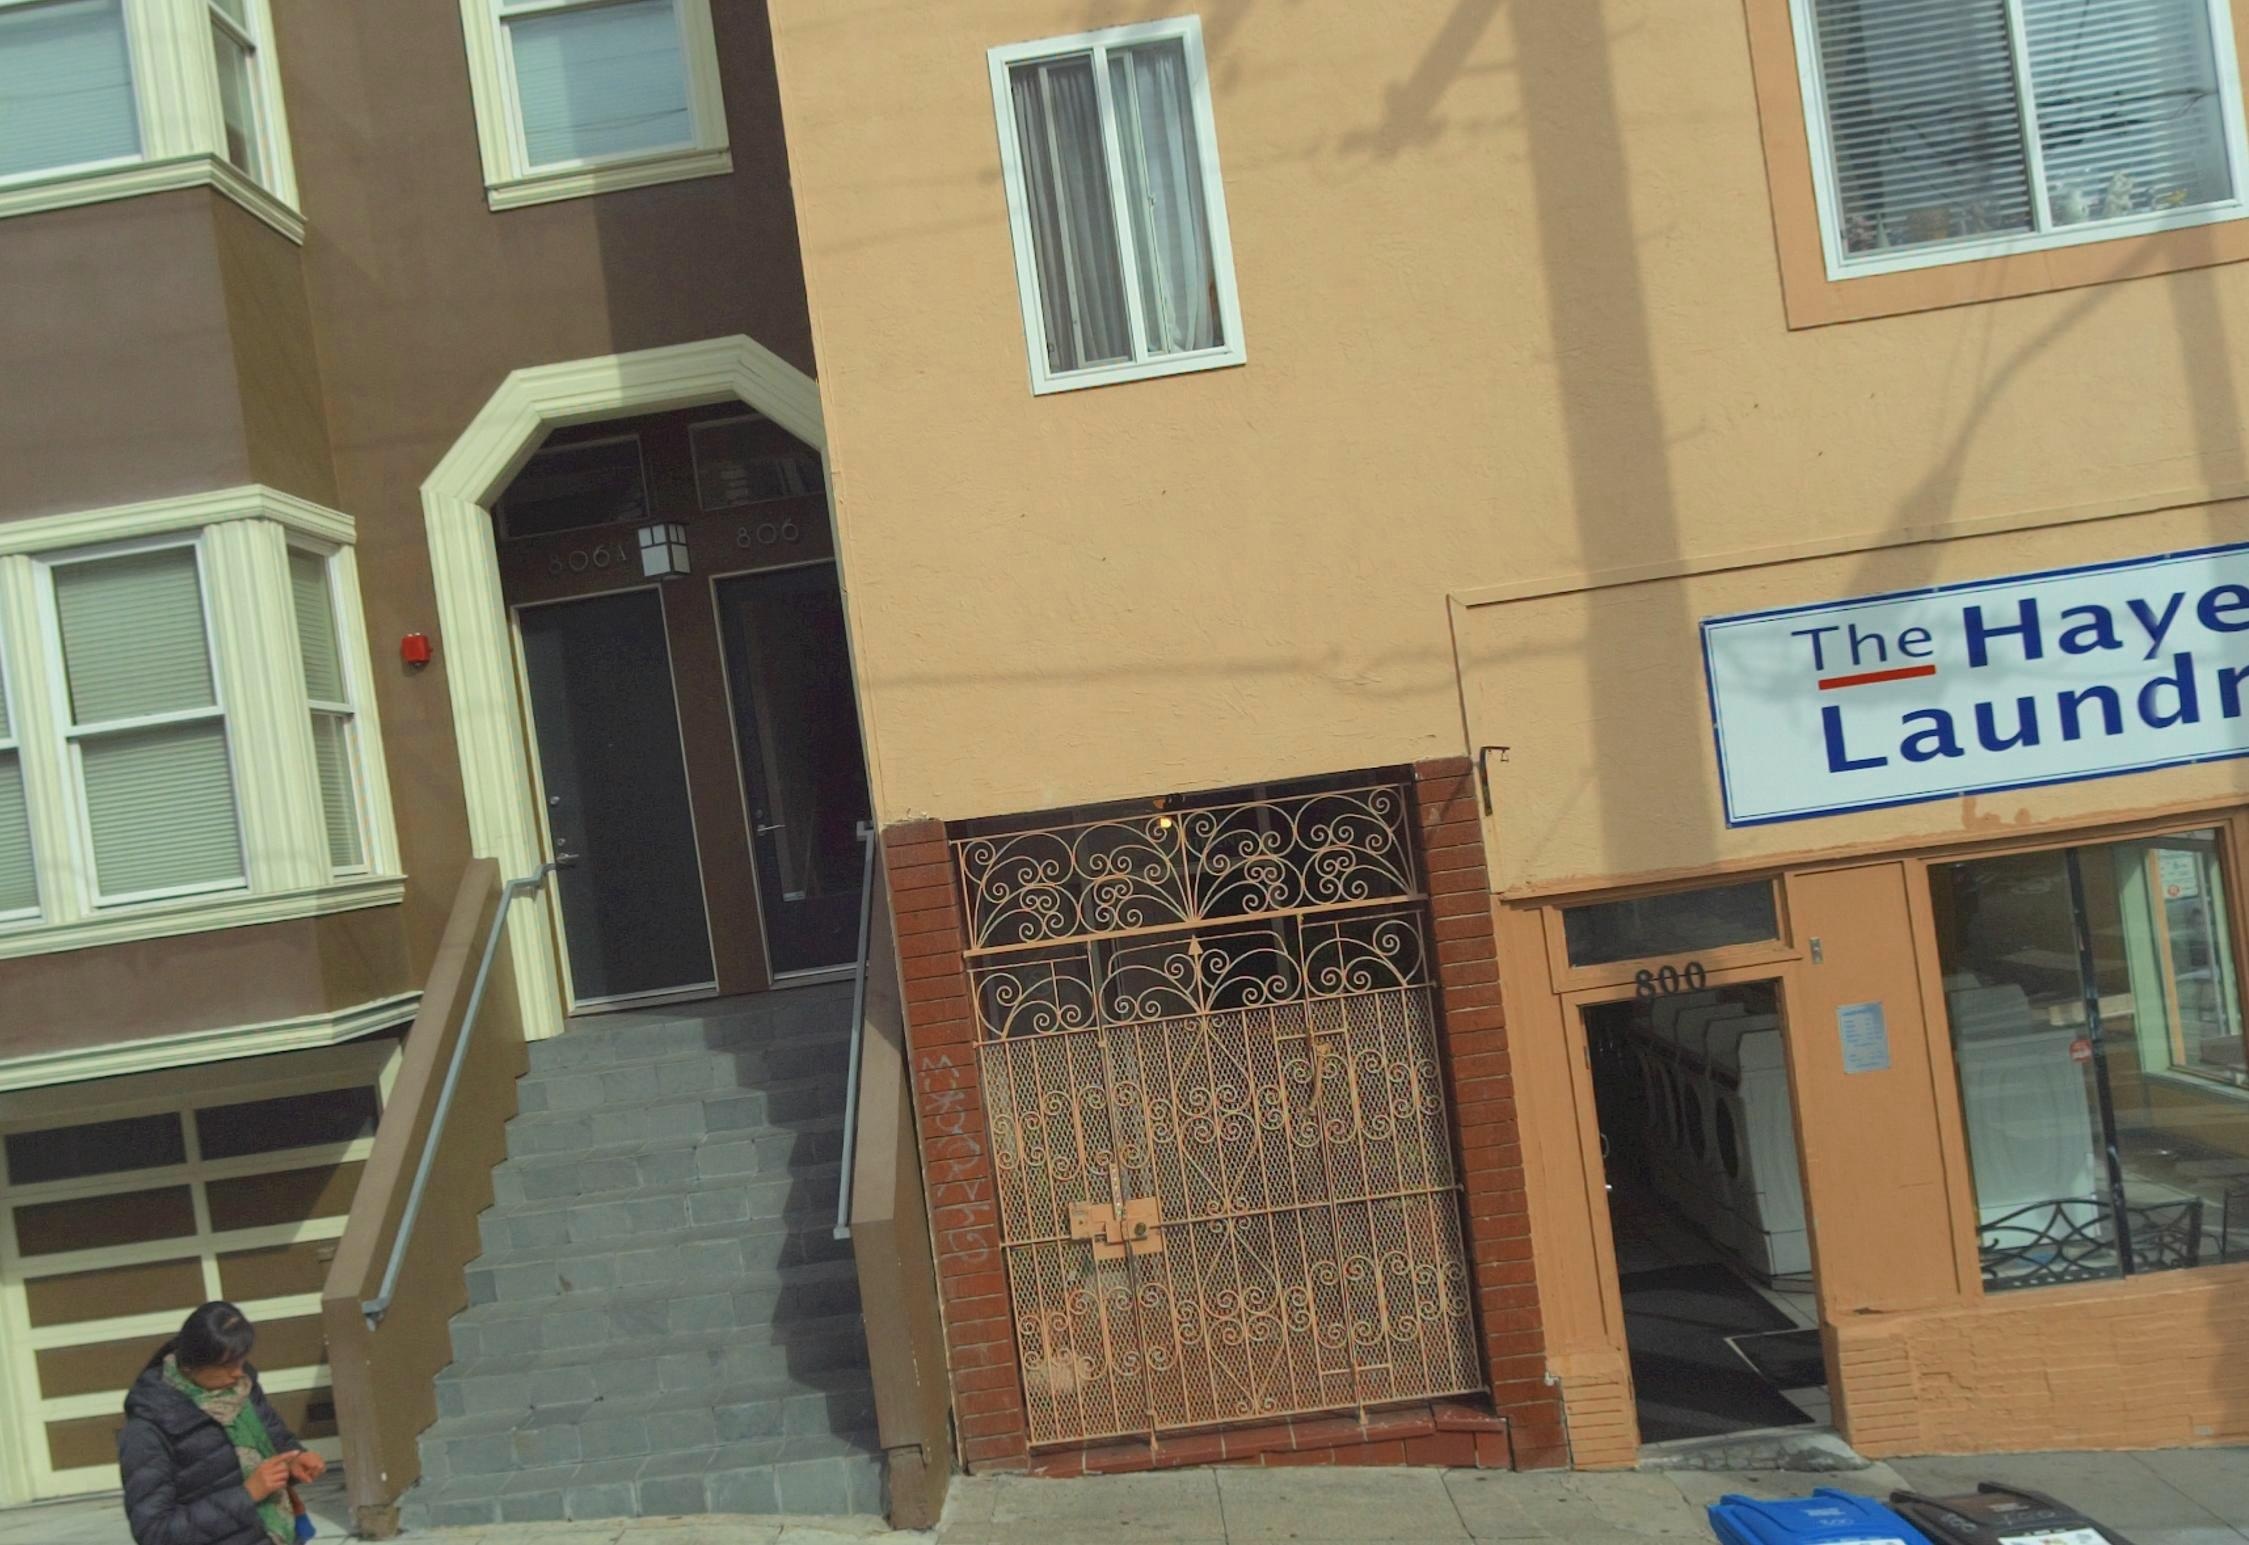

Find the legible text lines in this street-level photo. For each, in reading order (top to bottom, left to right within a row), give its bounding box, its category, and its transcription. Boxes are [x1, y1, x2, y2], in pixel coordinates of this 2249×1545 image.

[732, 514, 803, 552] StreetNumber: 806
[545, 537, 632, 581] StreetNumber: 806A
[1783, 587, 2196, 678] BusinessName: The Hay
[1814, 644, 2209, 781] BusinessName: Laund
[1630, 955, 1710, 1005] StreetNumber: 800